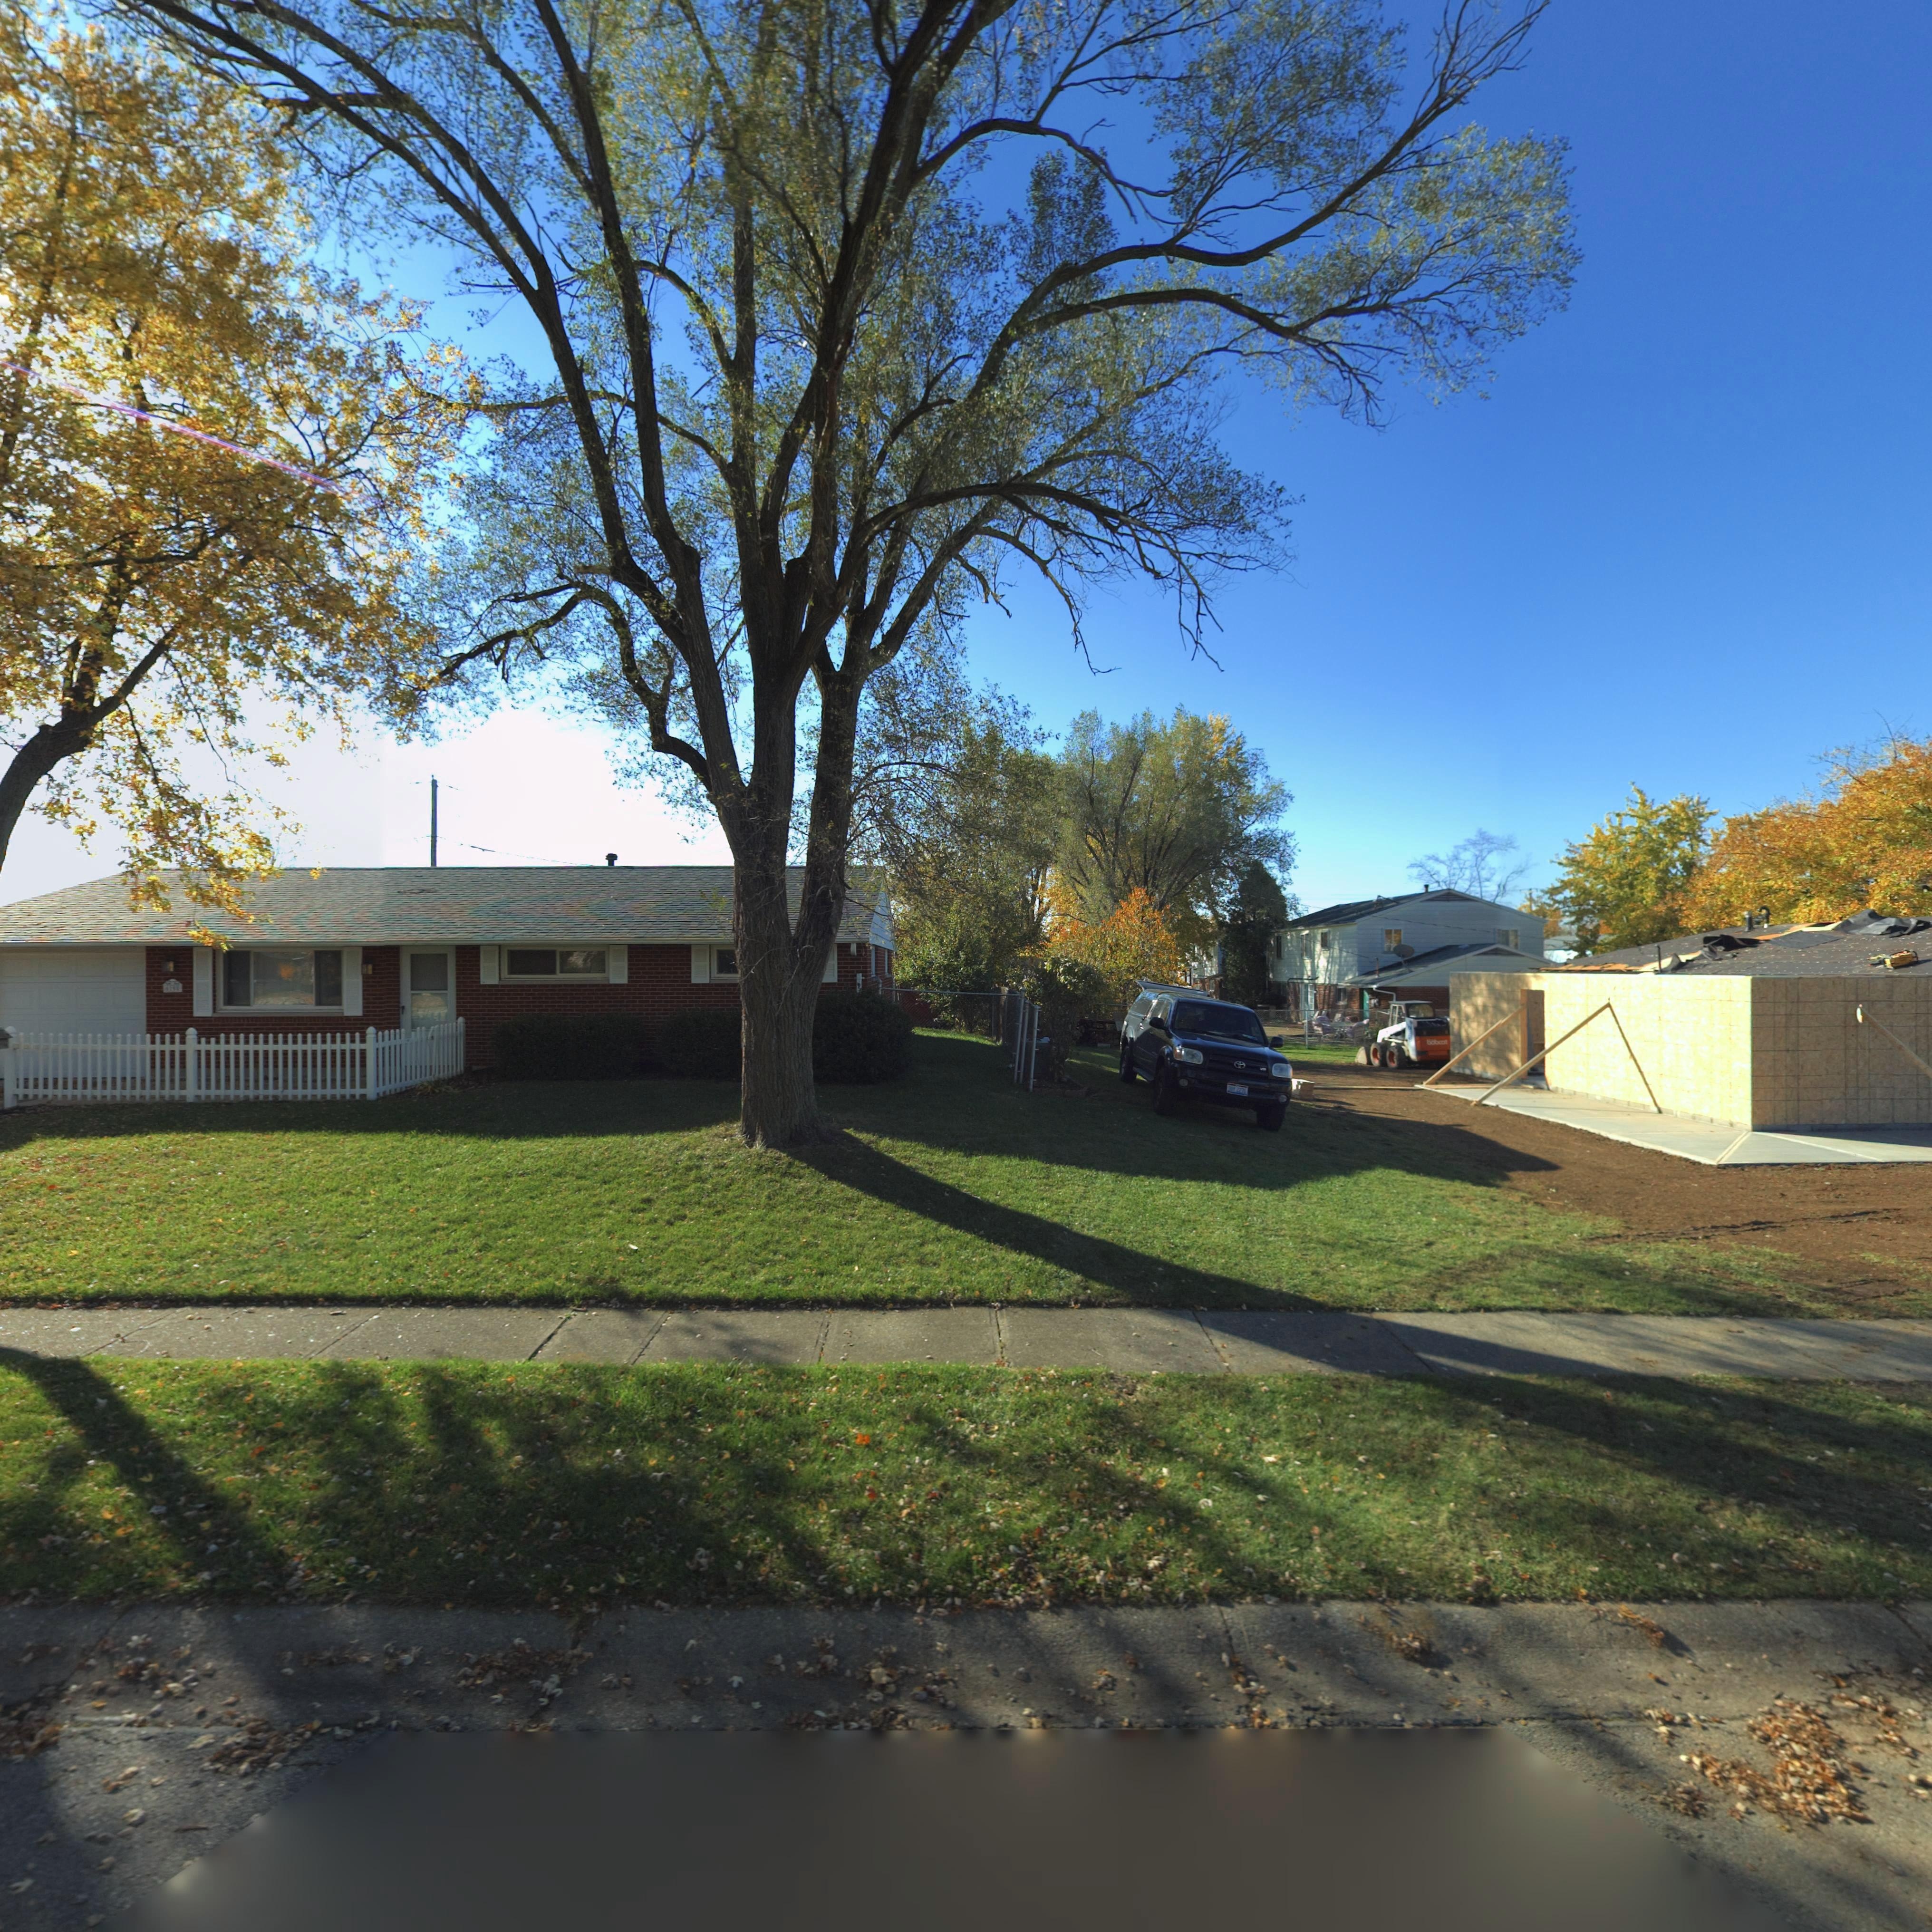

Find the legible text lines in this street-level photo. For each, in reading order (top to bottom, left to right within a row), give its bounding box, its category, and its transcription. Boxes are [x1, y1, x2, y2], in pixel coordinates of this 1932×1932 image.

[164, 985, 180, 991] StreetNumber: 6108